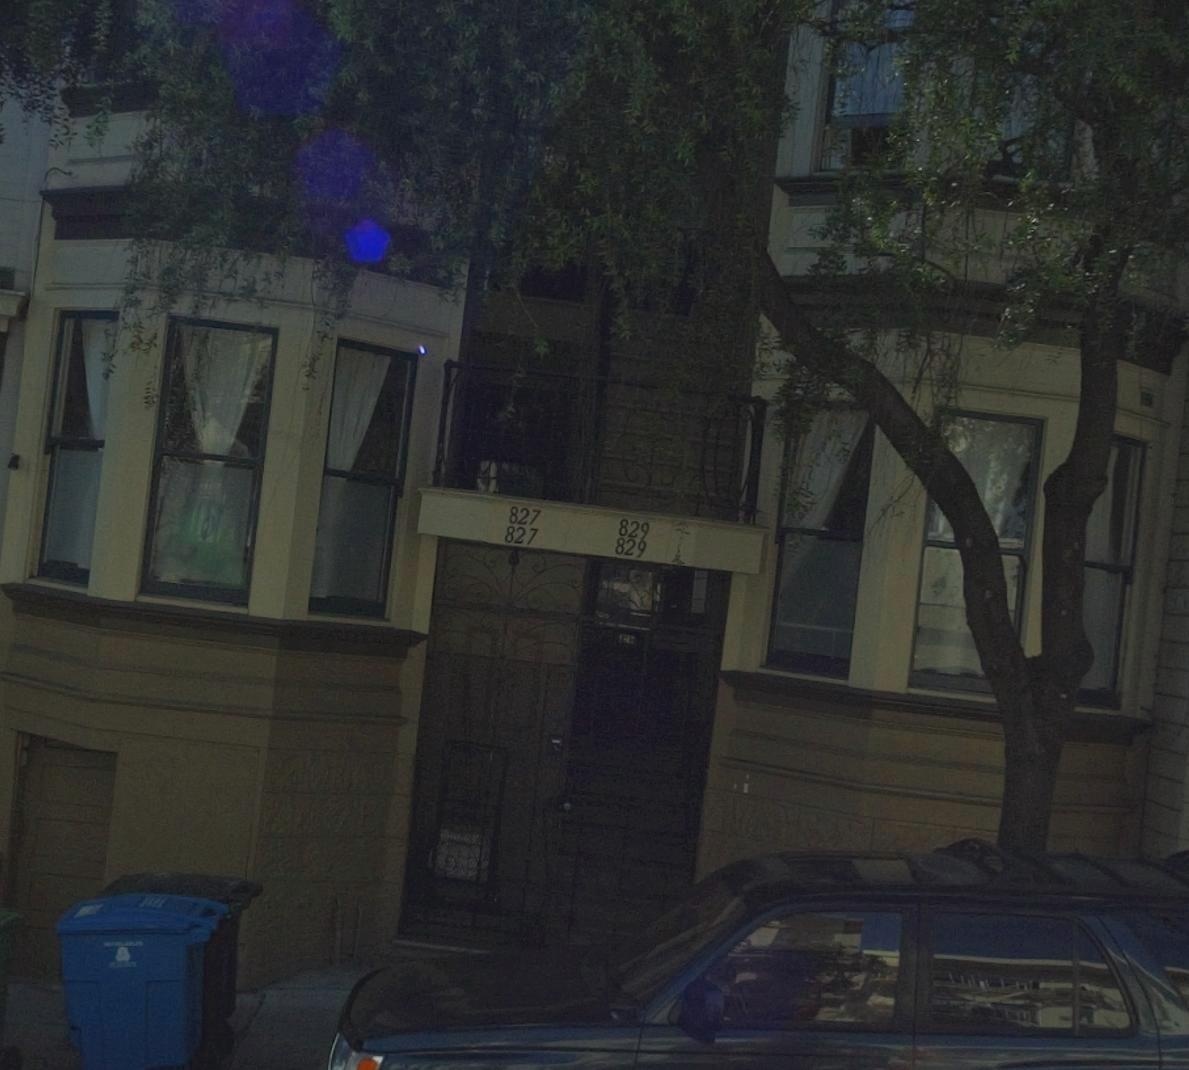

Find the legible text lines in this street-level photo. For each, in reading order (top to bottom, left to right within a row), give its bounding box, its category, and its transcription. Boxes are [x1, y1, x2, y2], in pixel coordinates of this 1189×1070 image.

[508, 506, 544, 527] StreetNumber: 827
[503, 524, 540, 546] StreetNumber: 827
[617, 516, 654, 542] StreetNumber: 829
[614, 536, 648, 560] StreetNumber: 829